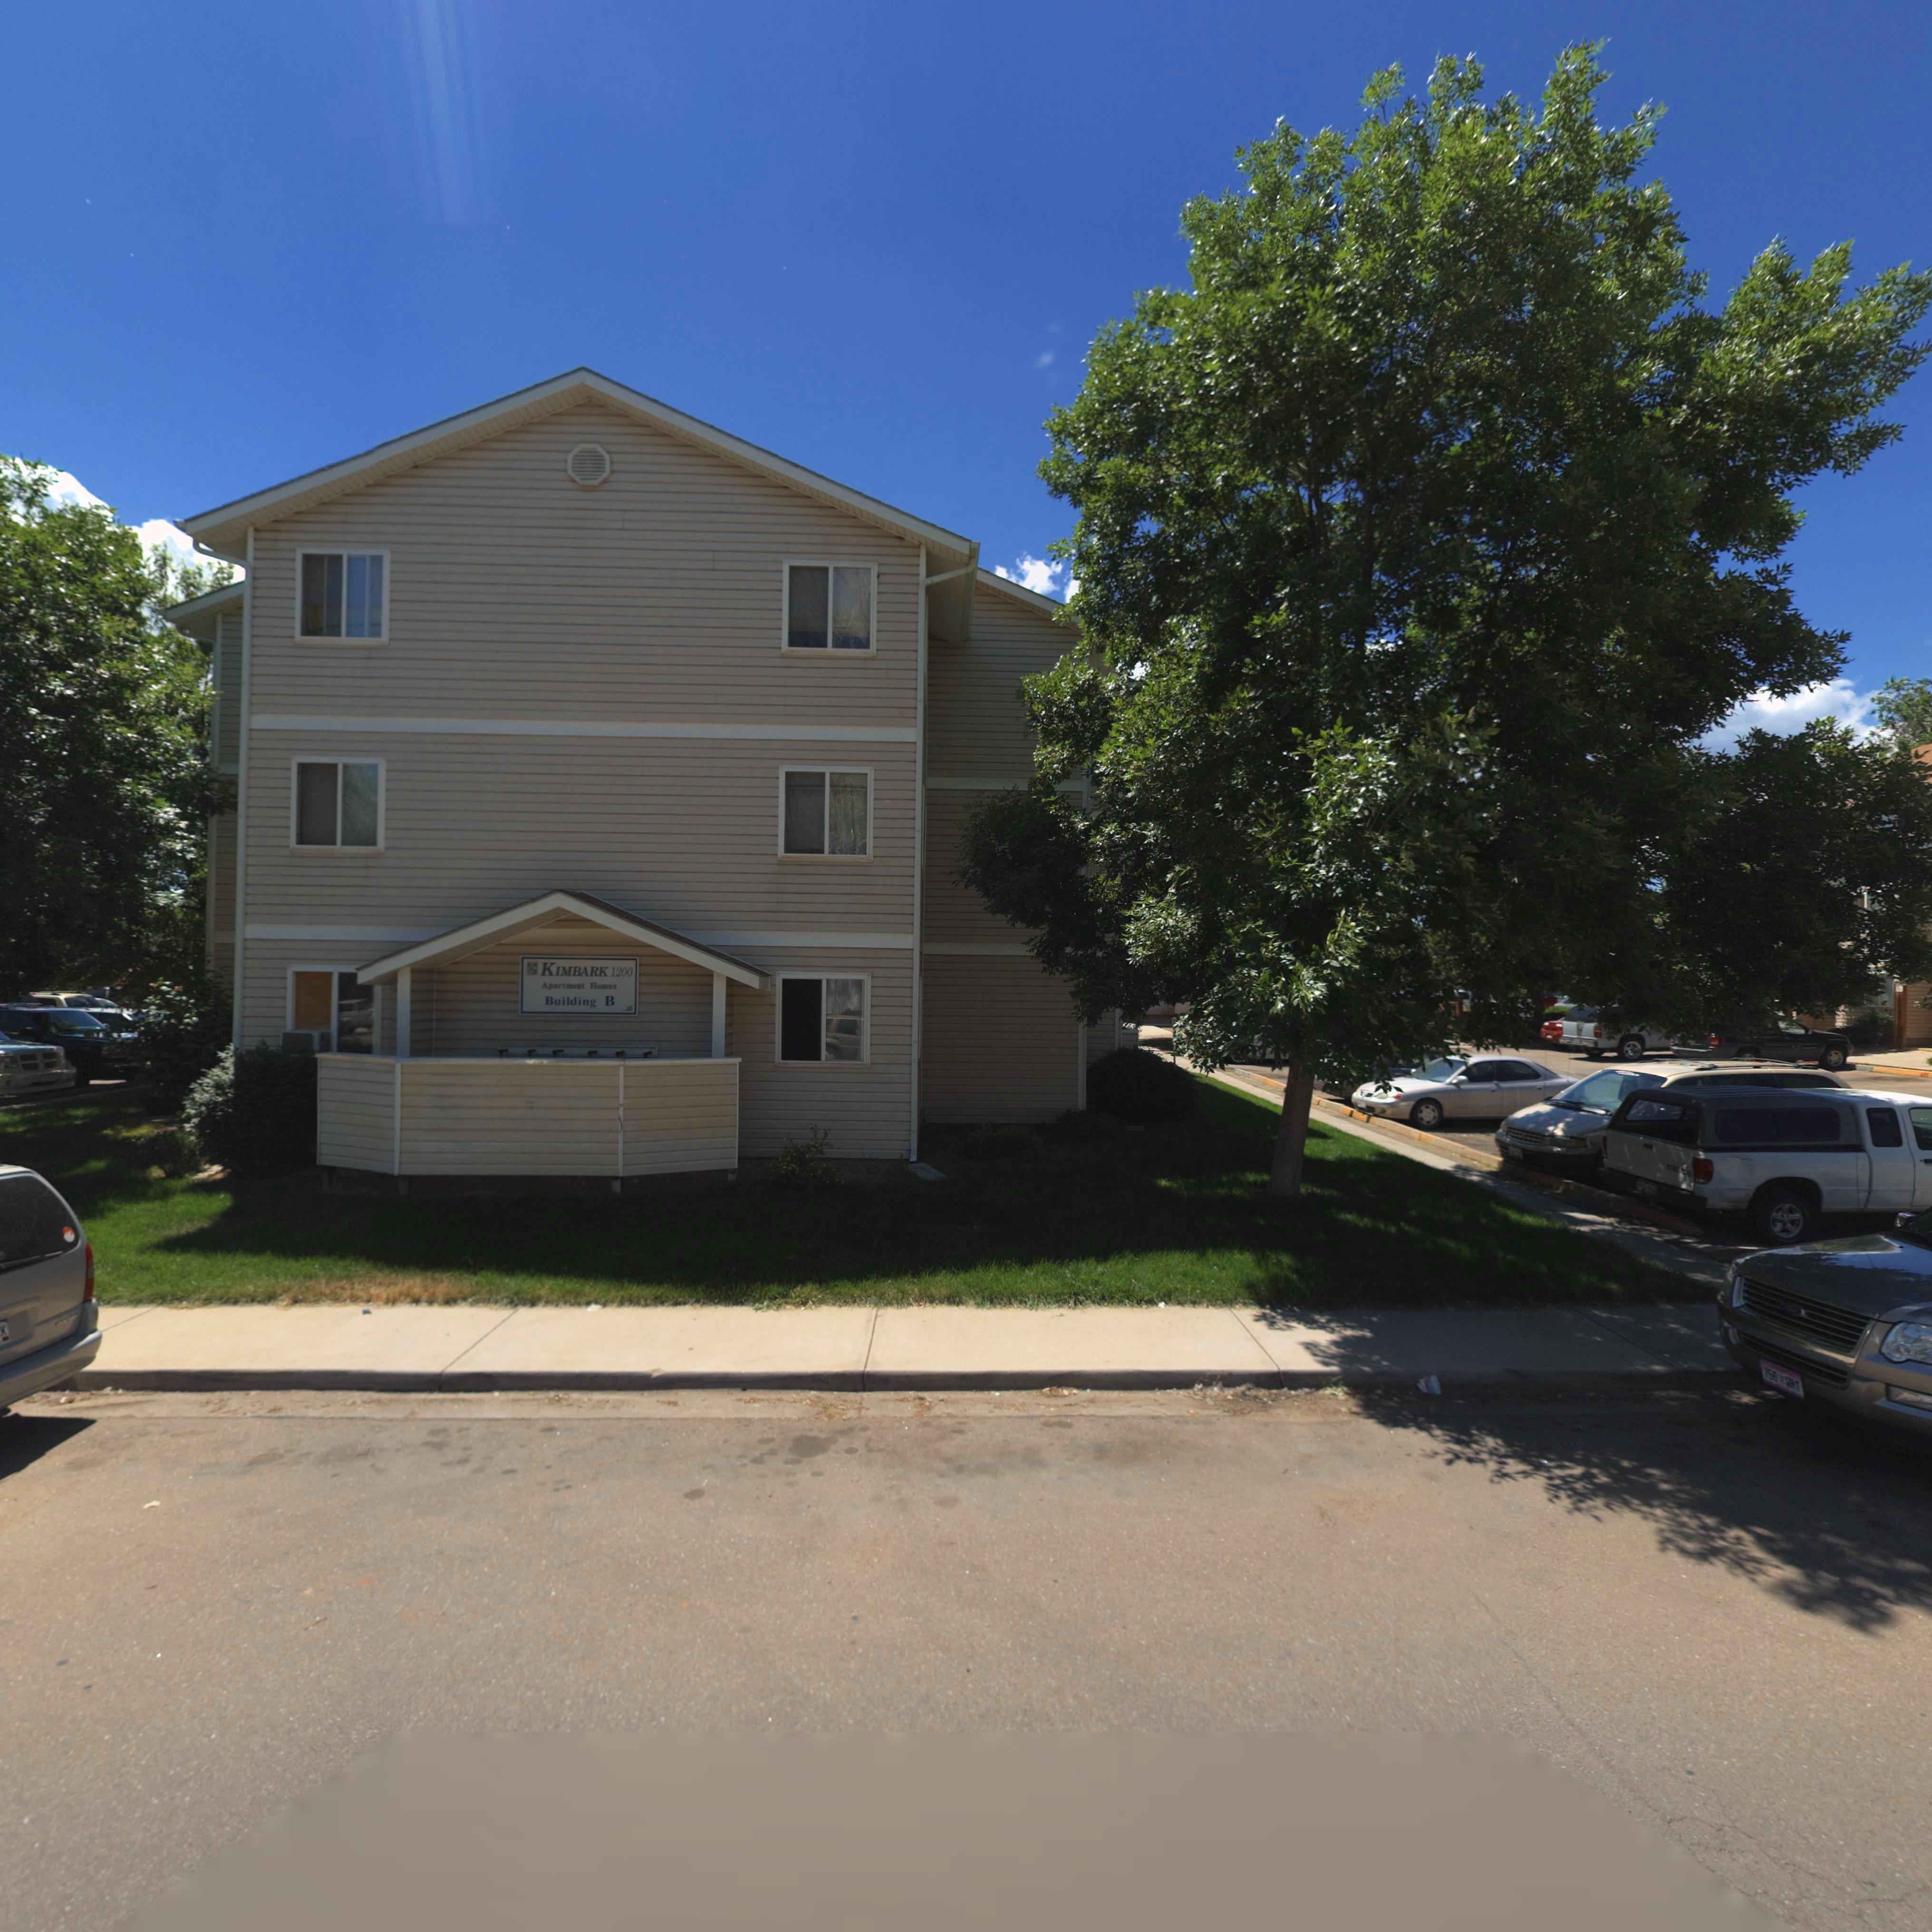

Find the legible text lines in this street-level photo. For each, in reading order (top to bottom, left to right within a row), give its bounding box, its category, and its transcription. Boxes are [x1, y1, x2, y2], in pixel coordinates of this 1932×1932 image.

[539, 961, 609, 977] BusinessName: KIMBARK
[610, 966, 634, 977] StreetNumber: 1200